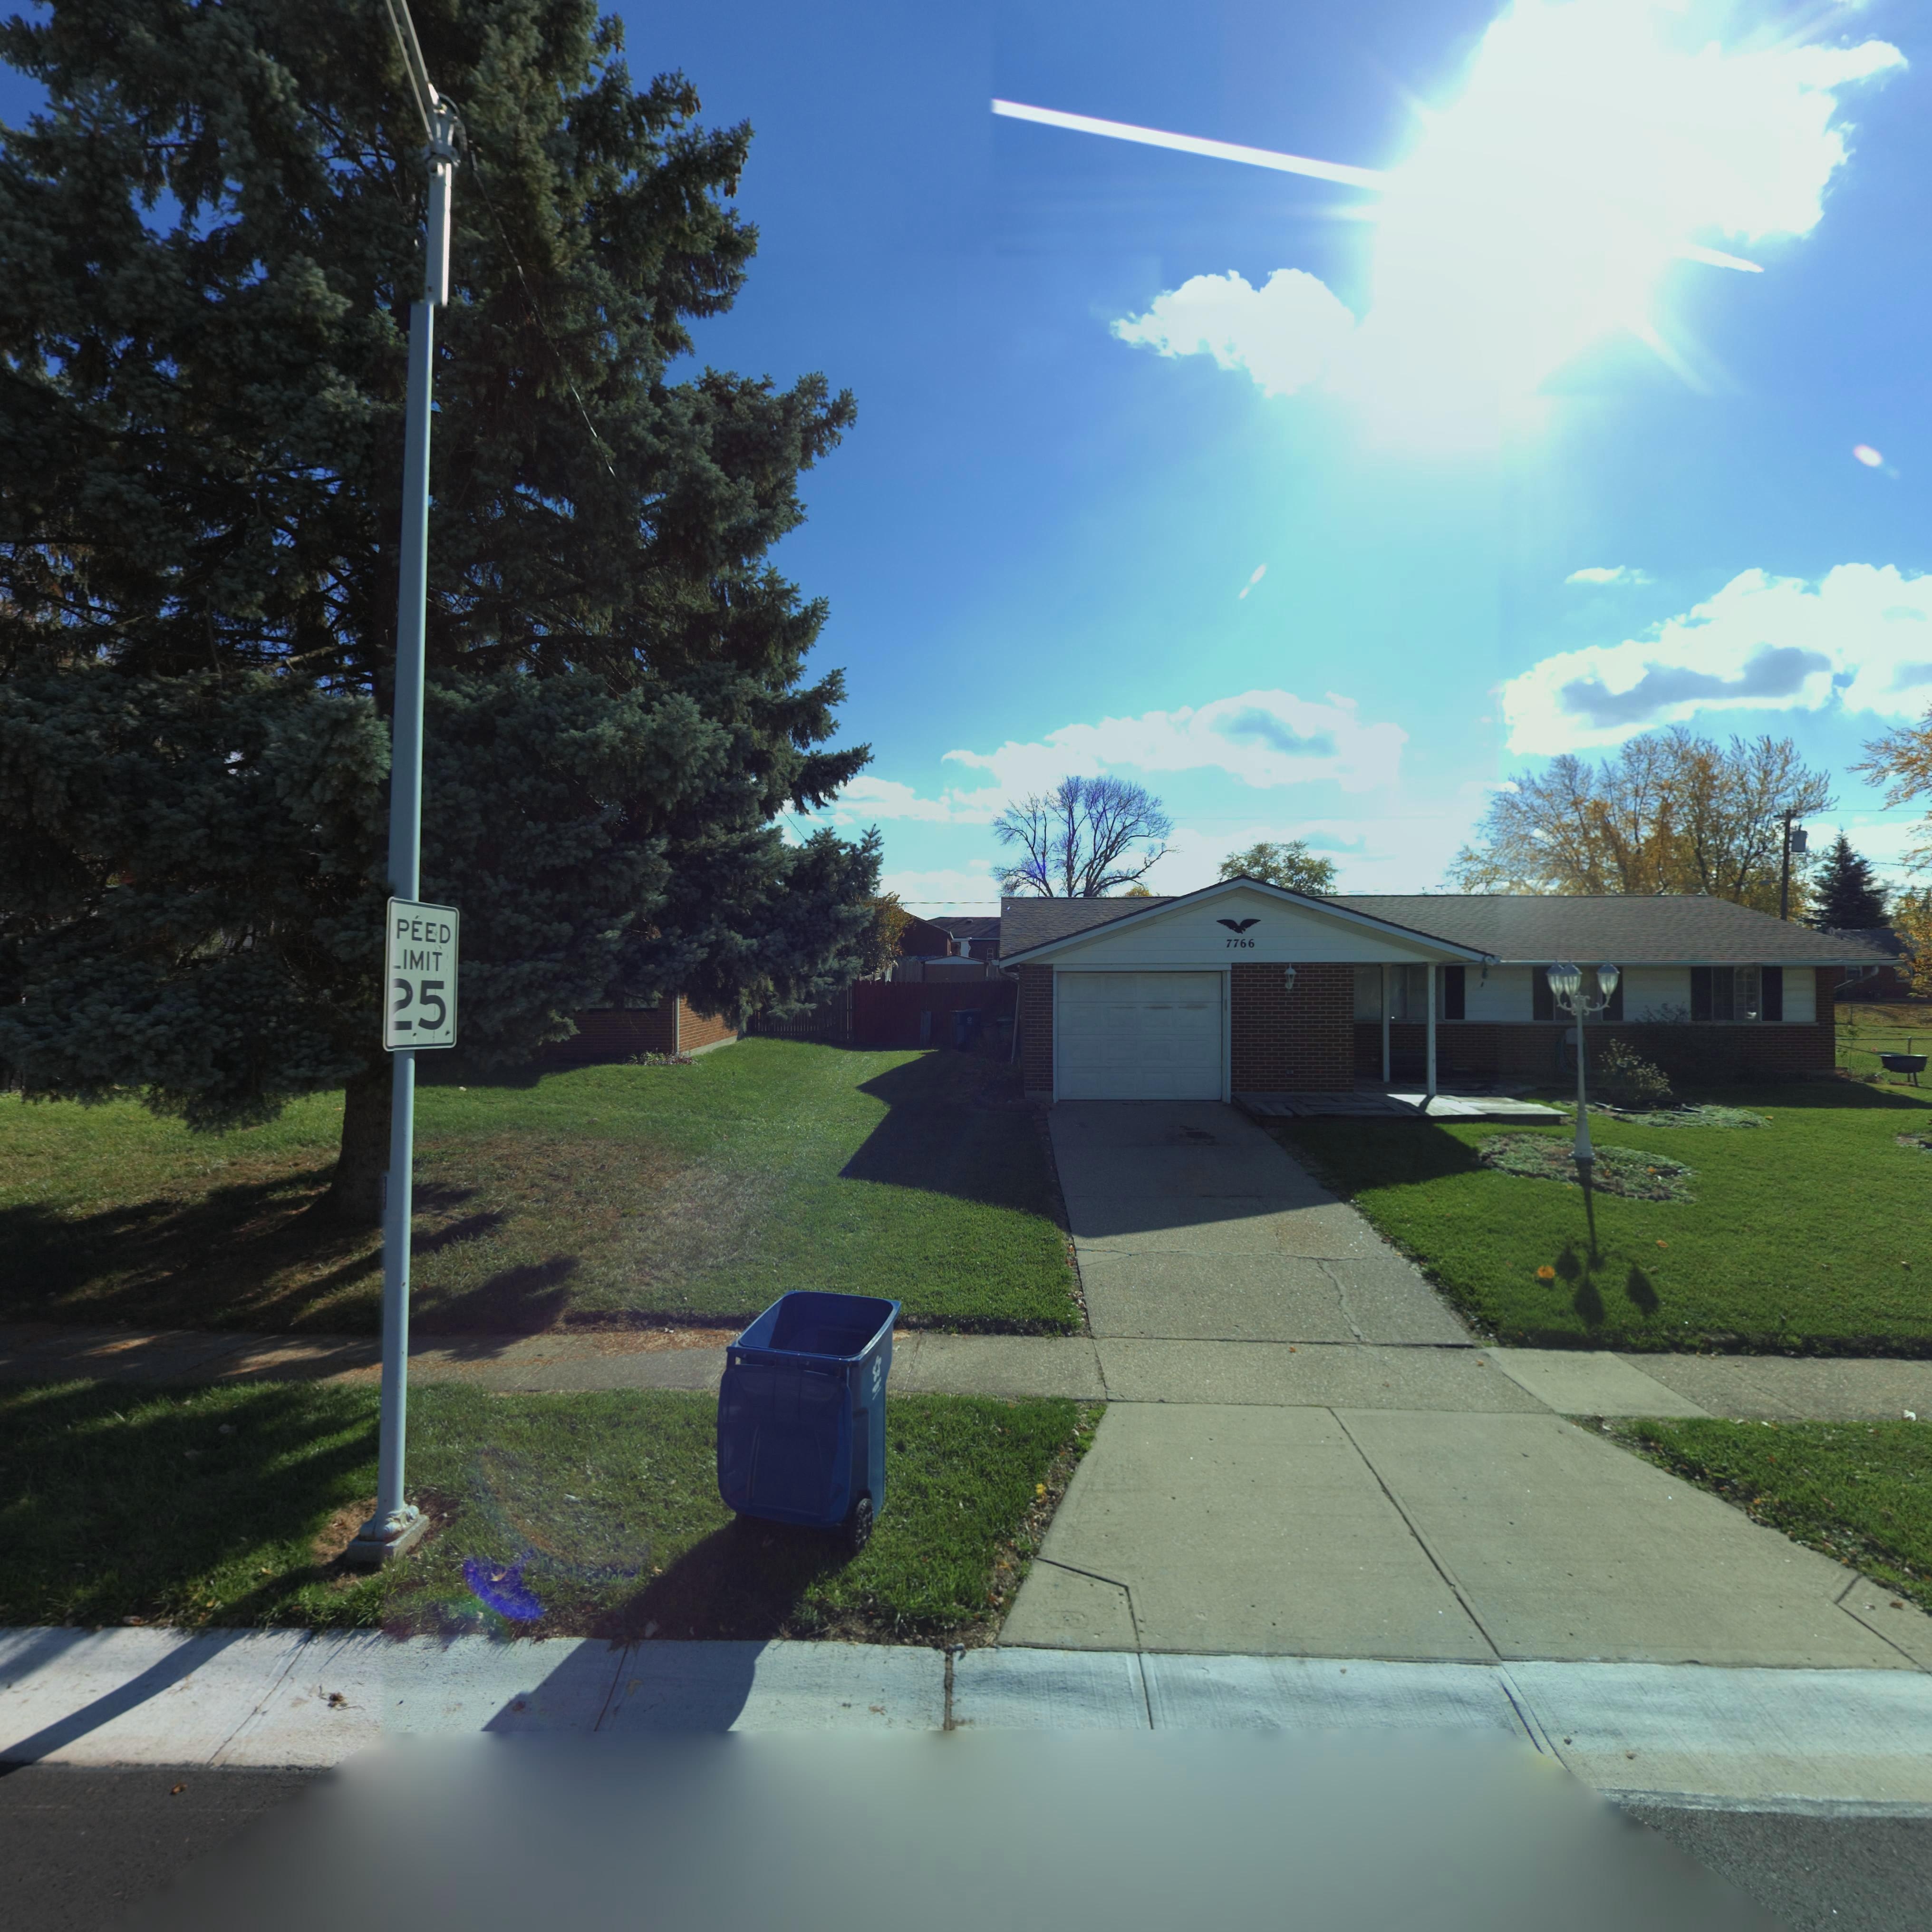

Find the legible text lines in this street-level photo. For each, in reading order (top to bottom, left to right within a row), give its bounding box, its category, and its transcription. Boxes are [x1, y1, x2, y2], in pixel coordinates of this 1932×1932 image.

[1226, 938, 1255, 948] StreetNumber: 7766